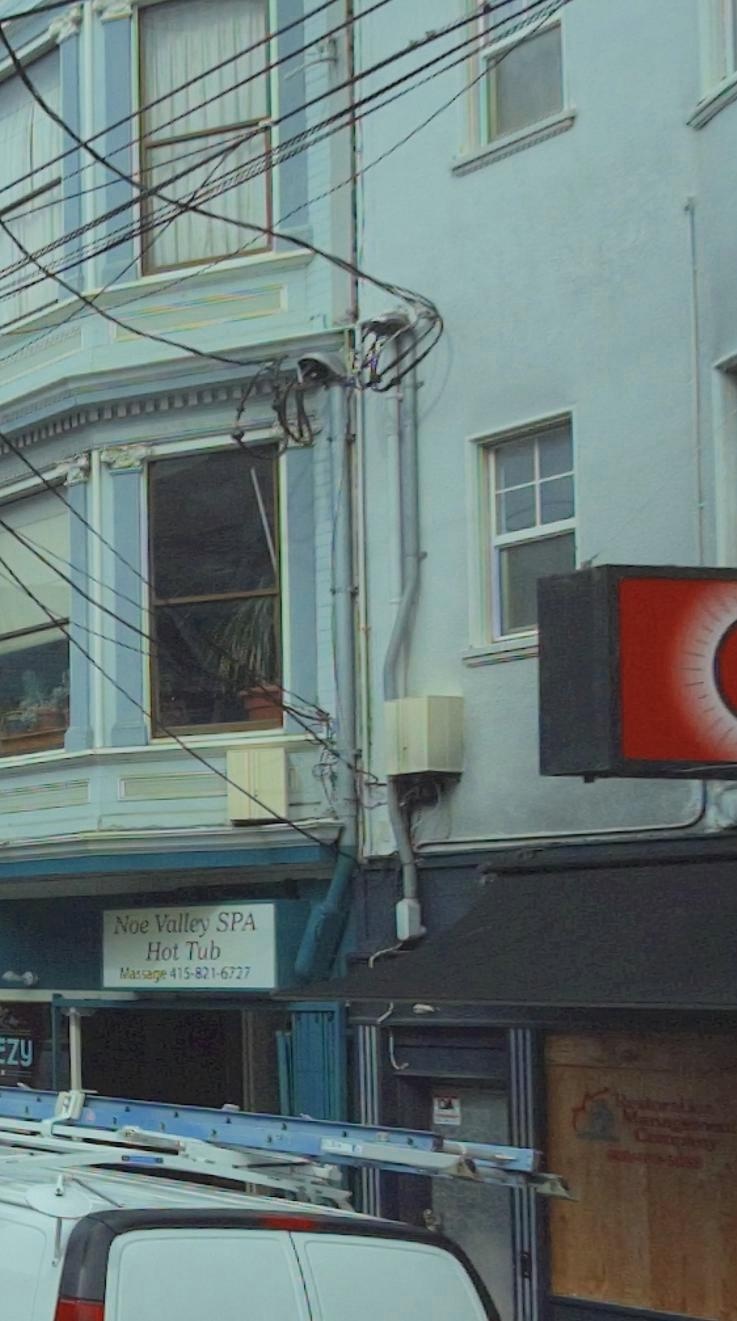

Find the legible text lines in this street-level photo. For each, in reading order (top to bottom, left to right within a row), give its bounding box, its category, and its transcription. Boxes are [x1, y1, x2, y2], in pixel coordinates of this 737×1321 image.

[113, 910, 258, 938] BusinessName: Noe Valley SPA
[146, 939, 222, 963] BusinessName: Hot Tub
[118, 964, 252, 984] None: Massage 415-821-6727
[6, 1037, 34, 1068] None: ZY